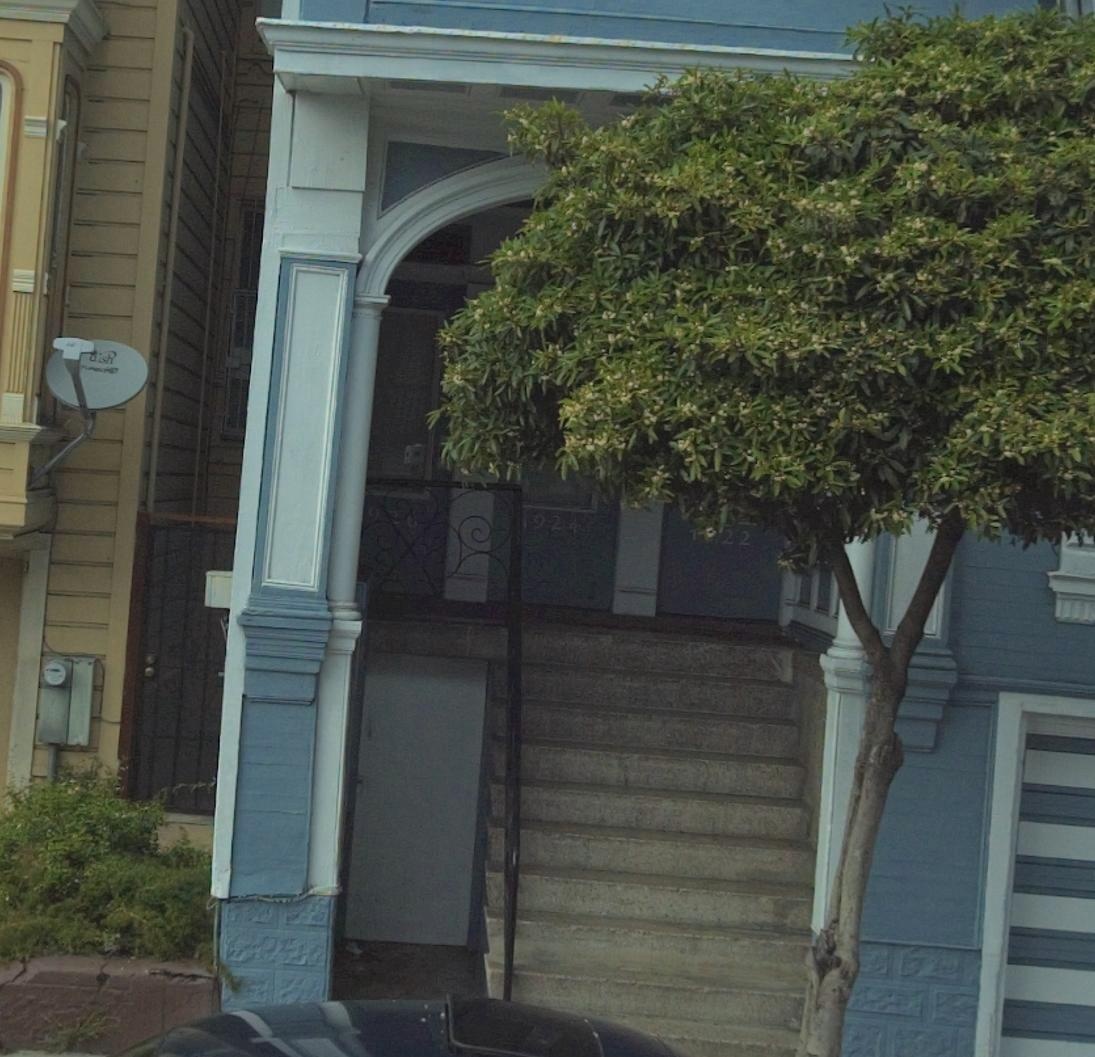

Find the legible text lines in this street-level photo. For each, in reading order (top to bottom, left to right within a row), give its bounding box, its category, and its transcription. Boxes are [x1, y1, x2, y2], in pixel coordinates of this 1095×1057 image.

[95, 349, 116, 367] None: ish
[365, 503, 422, 531] StreetNumber: 9*6
[518, 511, 583, 536] StreetNumber: 1924
[685, 522, 754, 549] StreetNumber: 1*22